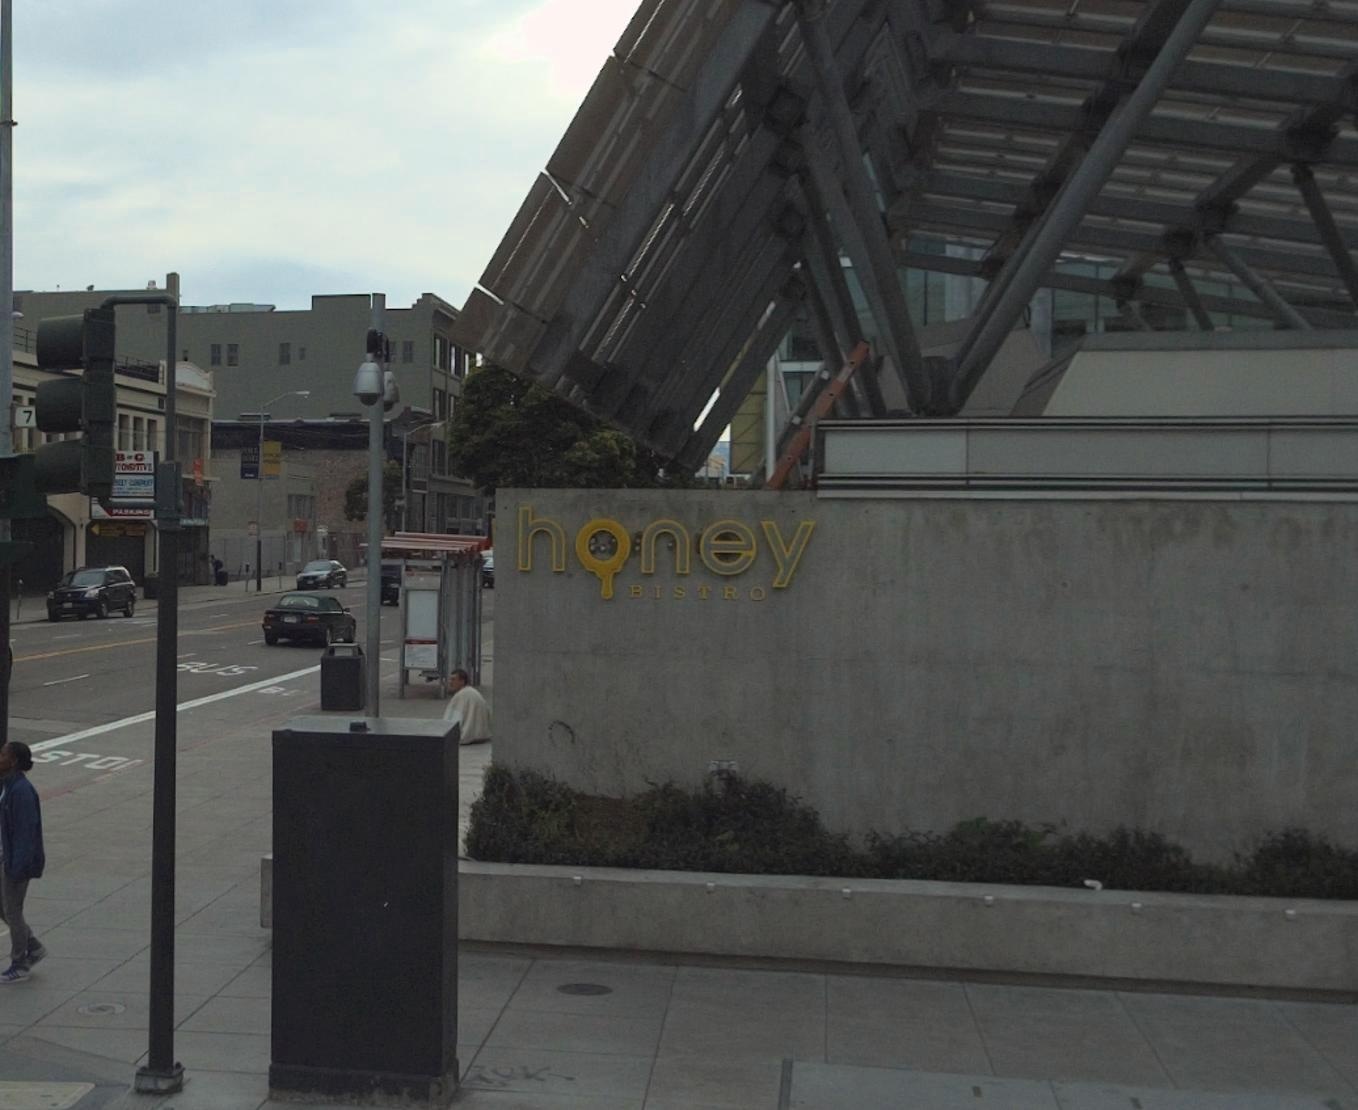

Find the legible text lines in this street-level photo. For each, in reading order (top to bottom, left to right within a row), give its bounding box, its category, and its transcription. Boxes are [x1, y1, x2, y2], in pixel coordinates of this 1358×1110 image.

[20, 407, 37, 427] StreetName: 7
[113, 449, 149, 464] BusinessName: B * G
[516, 503, 822, 592] BusinessName: honey
[626, 583, 768, 603] BusinessName: BISTRO
[184, 660, 262, 679] None: US
[27, 747, 134, 772] None: STO